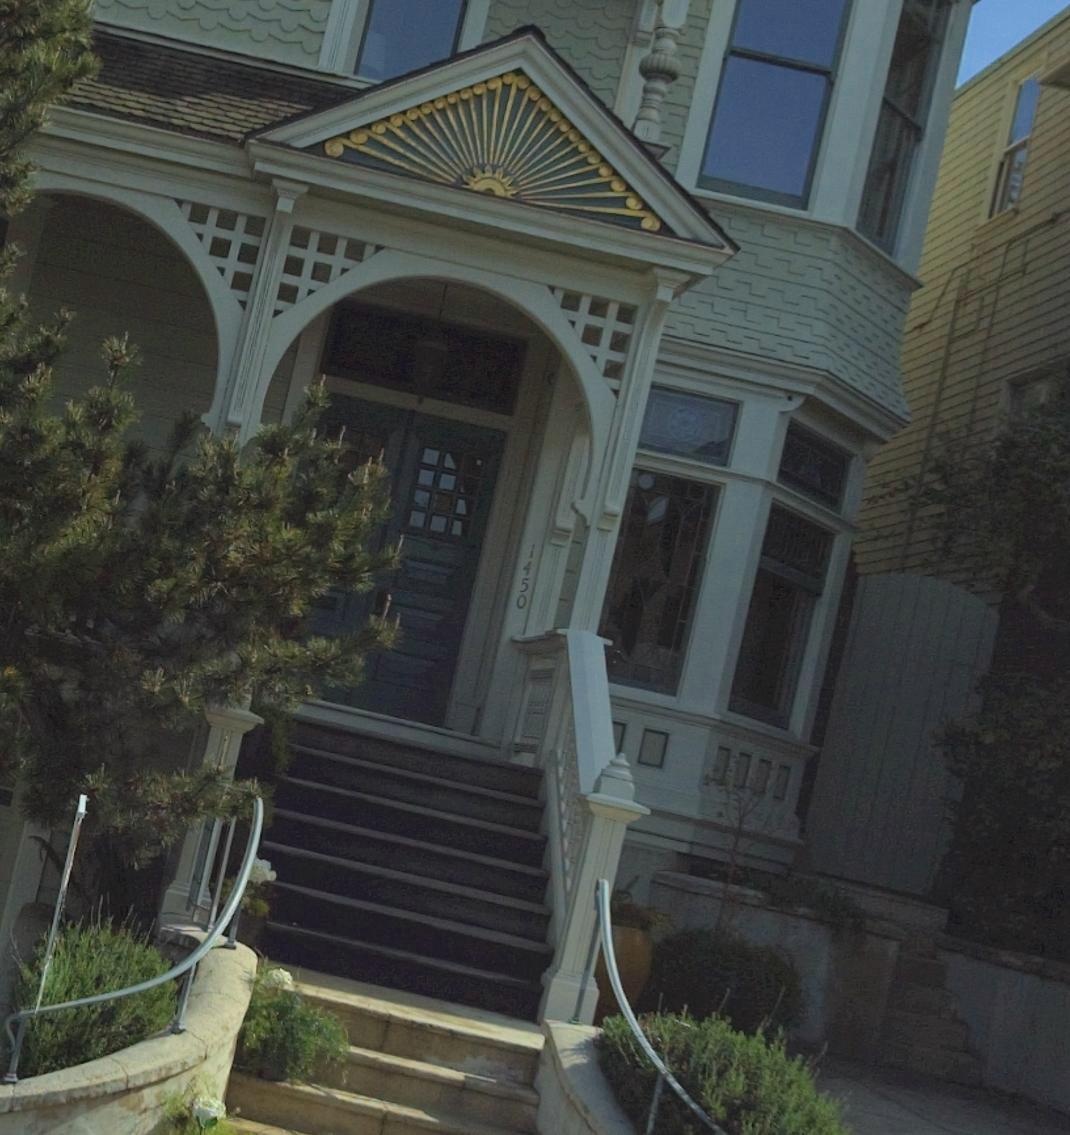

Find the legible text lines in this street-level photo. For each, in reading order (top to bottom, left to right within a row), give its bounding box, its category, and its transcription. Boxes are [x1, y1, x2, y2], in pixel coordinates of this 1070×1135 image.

[511, 540, 541, 614] StreetNumber: 1450